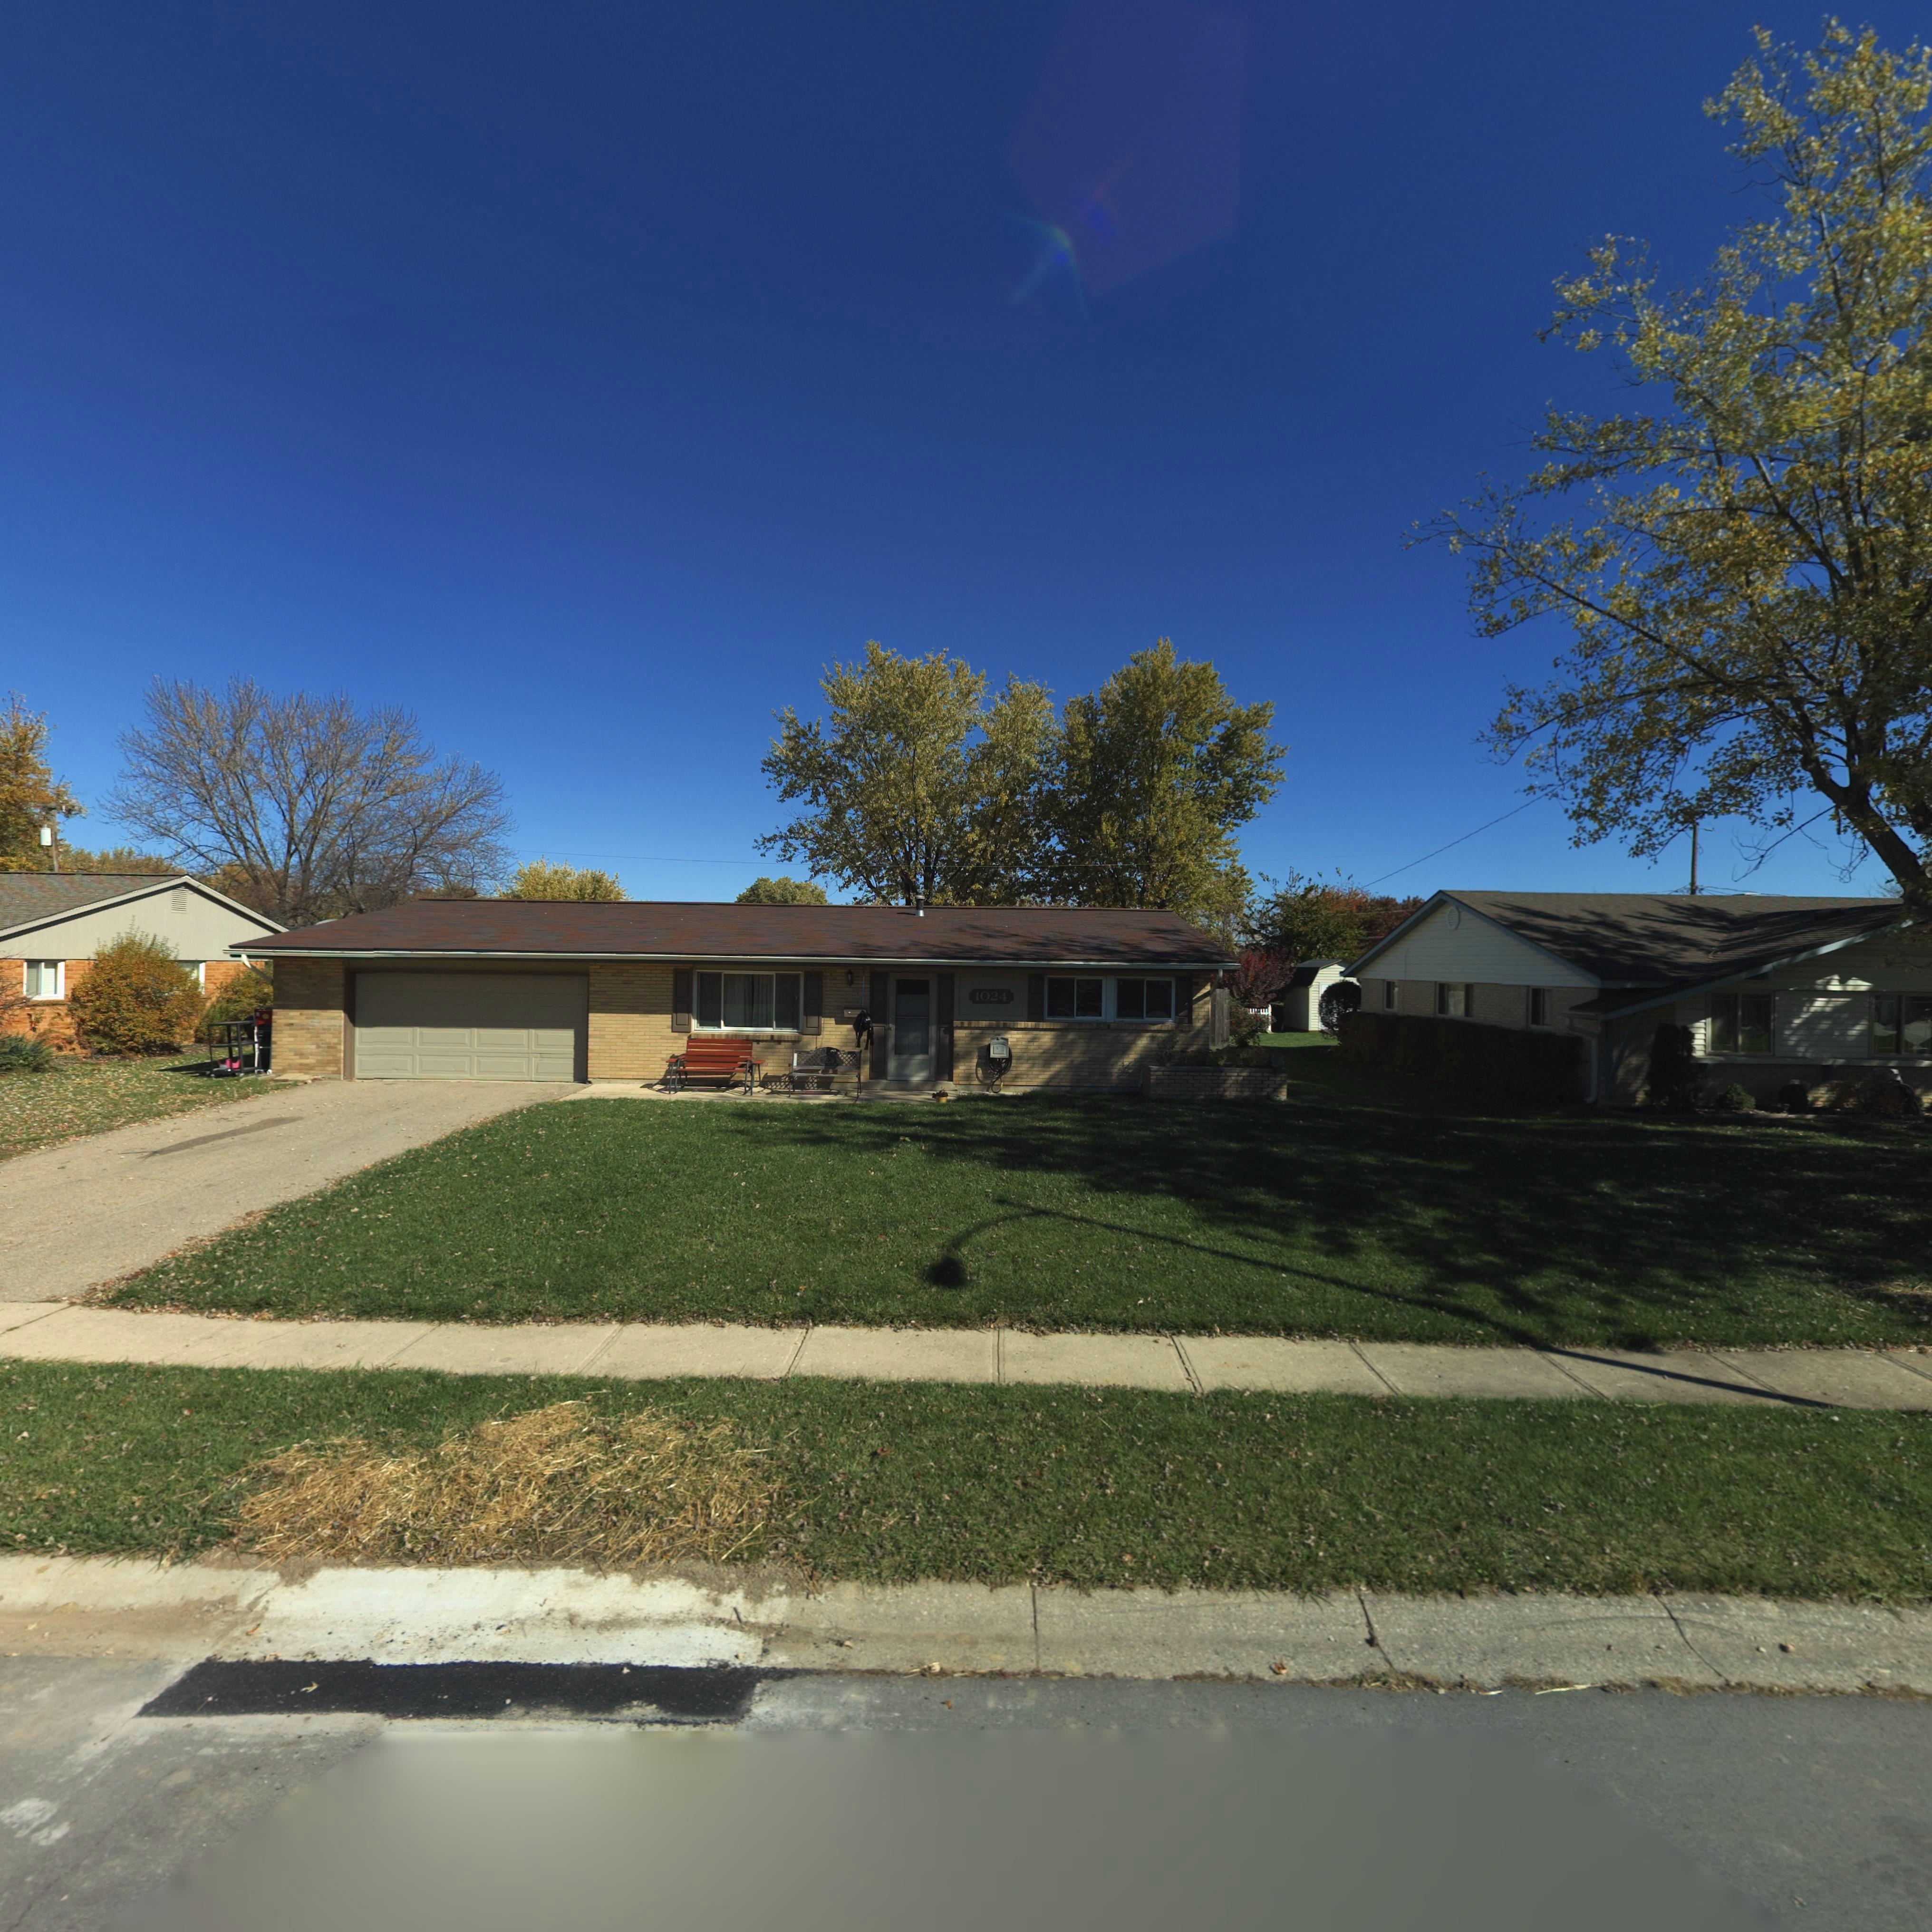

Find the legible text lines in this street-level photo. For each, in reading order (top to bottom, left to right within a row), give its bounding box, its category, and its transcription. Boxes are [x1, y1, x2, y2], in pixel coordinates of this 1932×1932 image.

[975, 990, 1009, 1002] StreetNumber: 1024